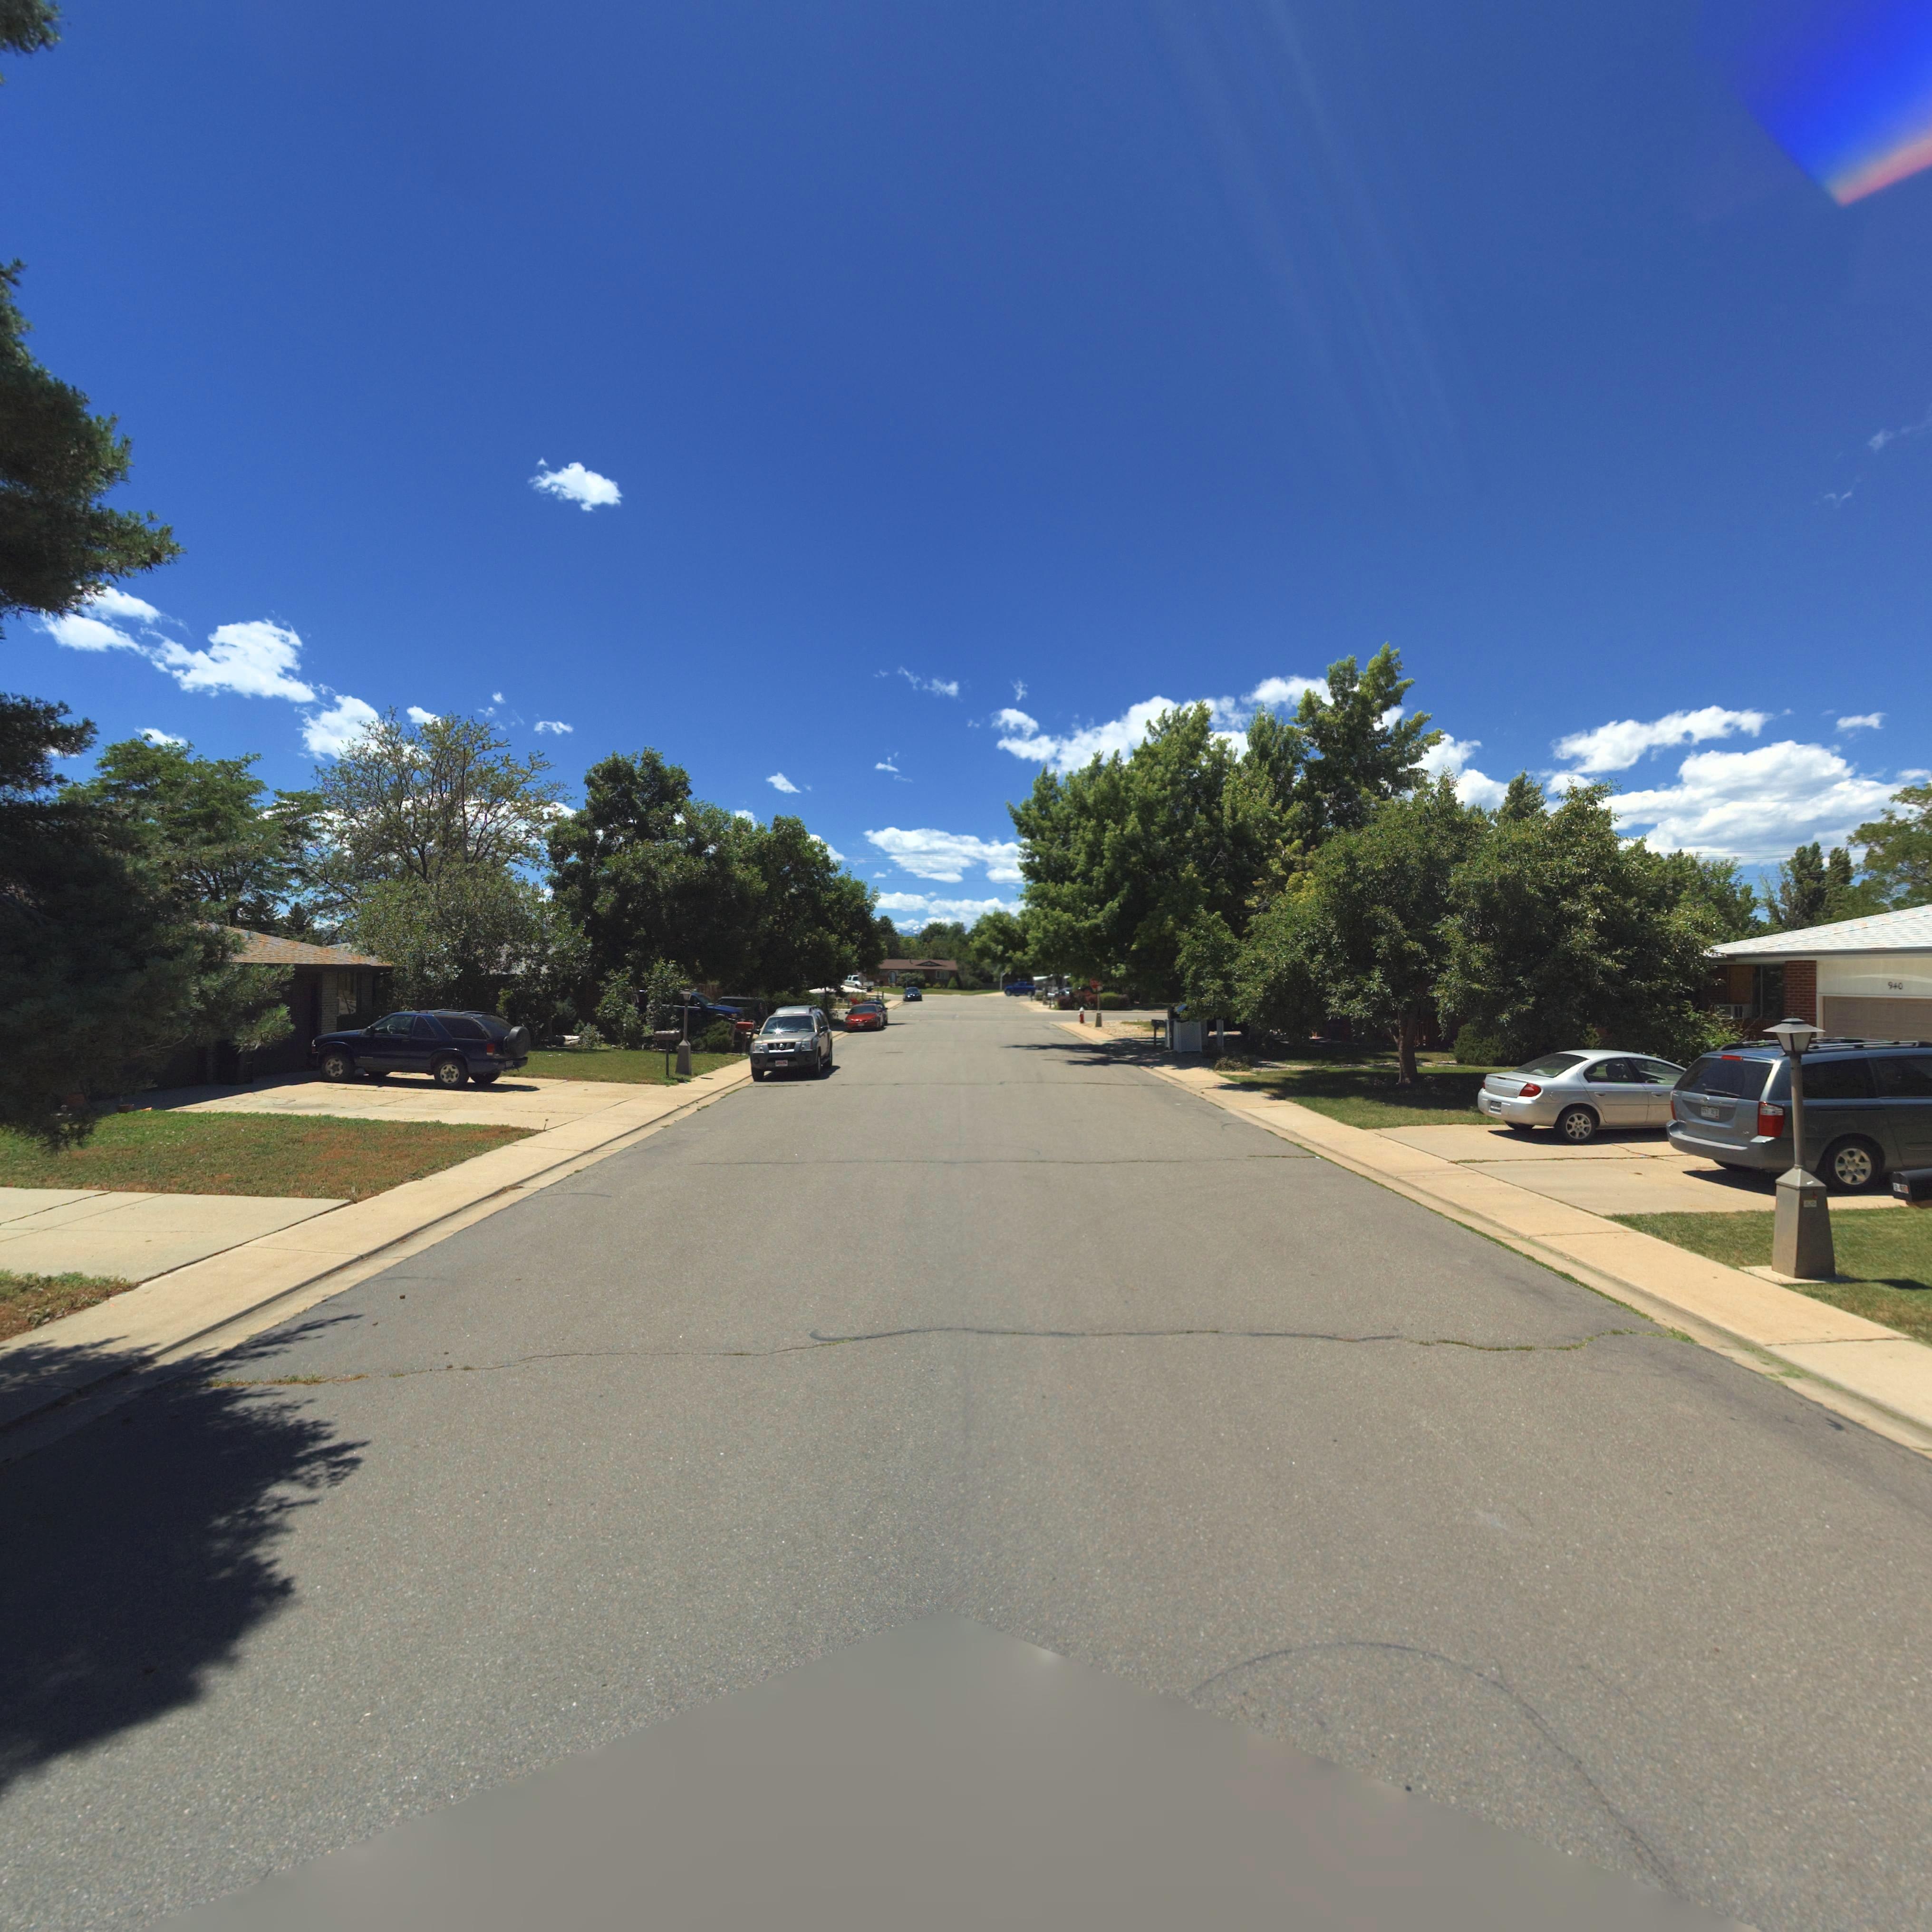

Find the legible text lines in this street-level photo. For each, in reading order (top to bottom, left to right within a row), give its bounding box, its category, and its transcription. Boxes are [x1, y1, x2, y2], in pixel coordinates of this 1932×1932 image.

[1887, 981, 1903, 990] StreetNumber: 940